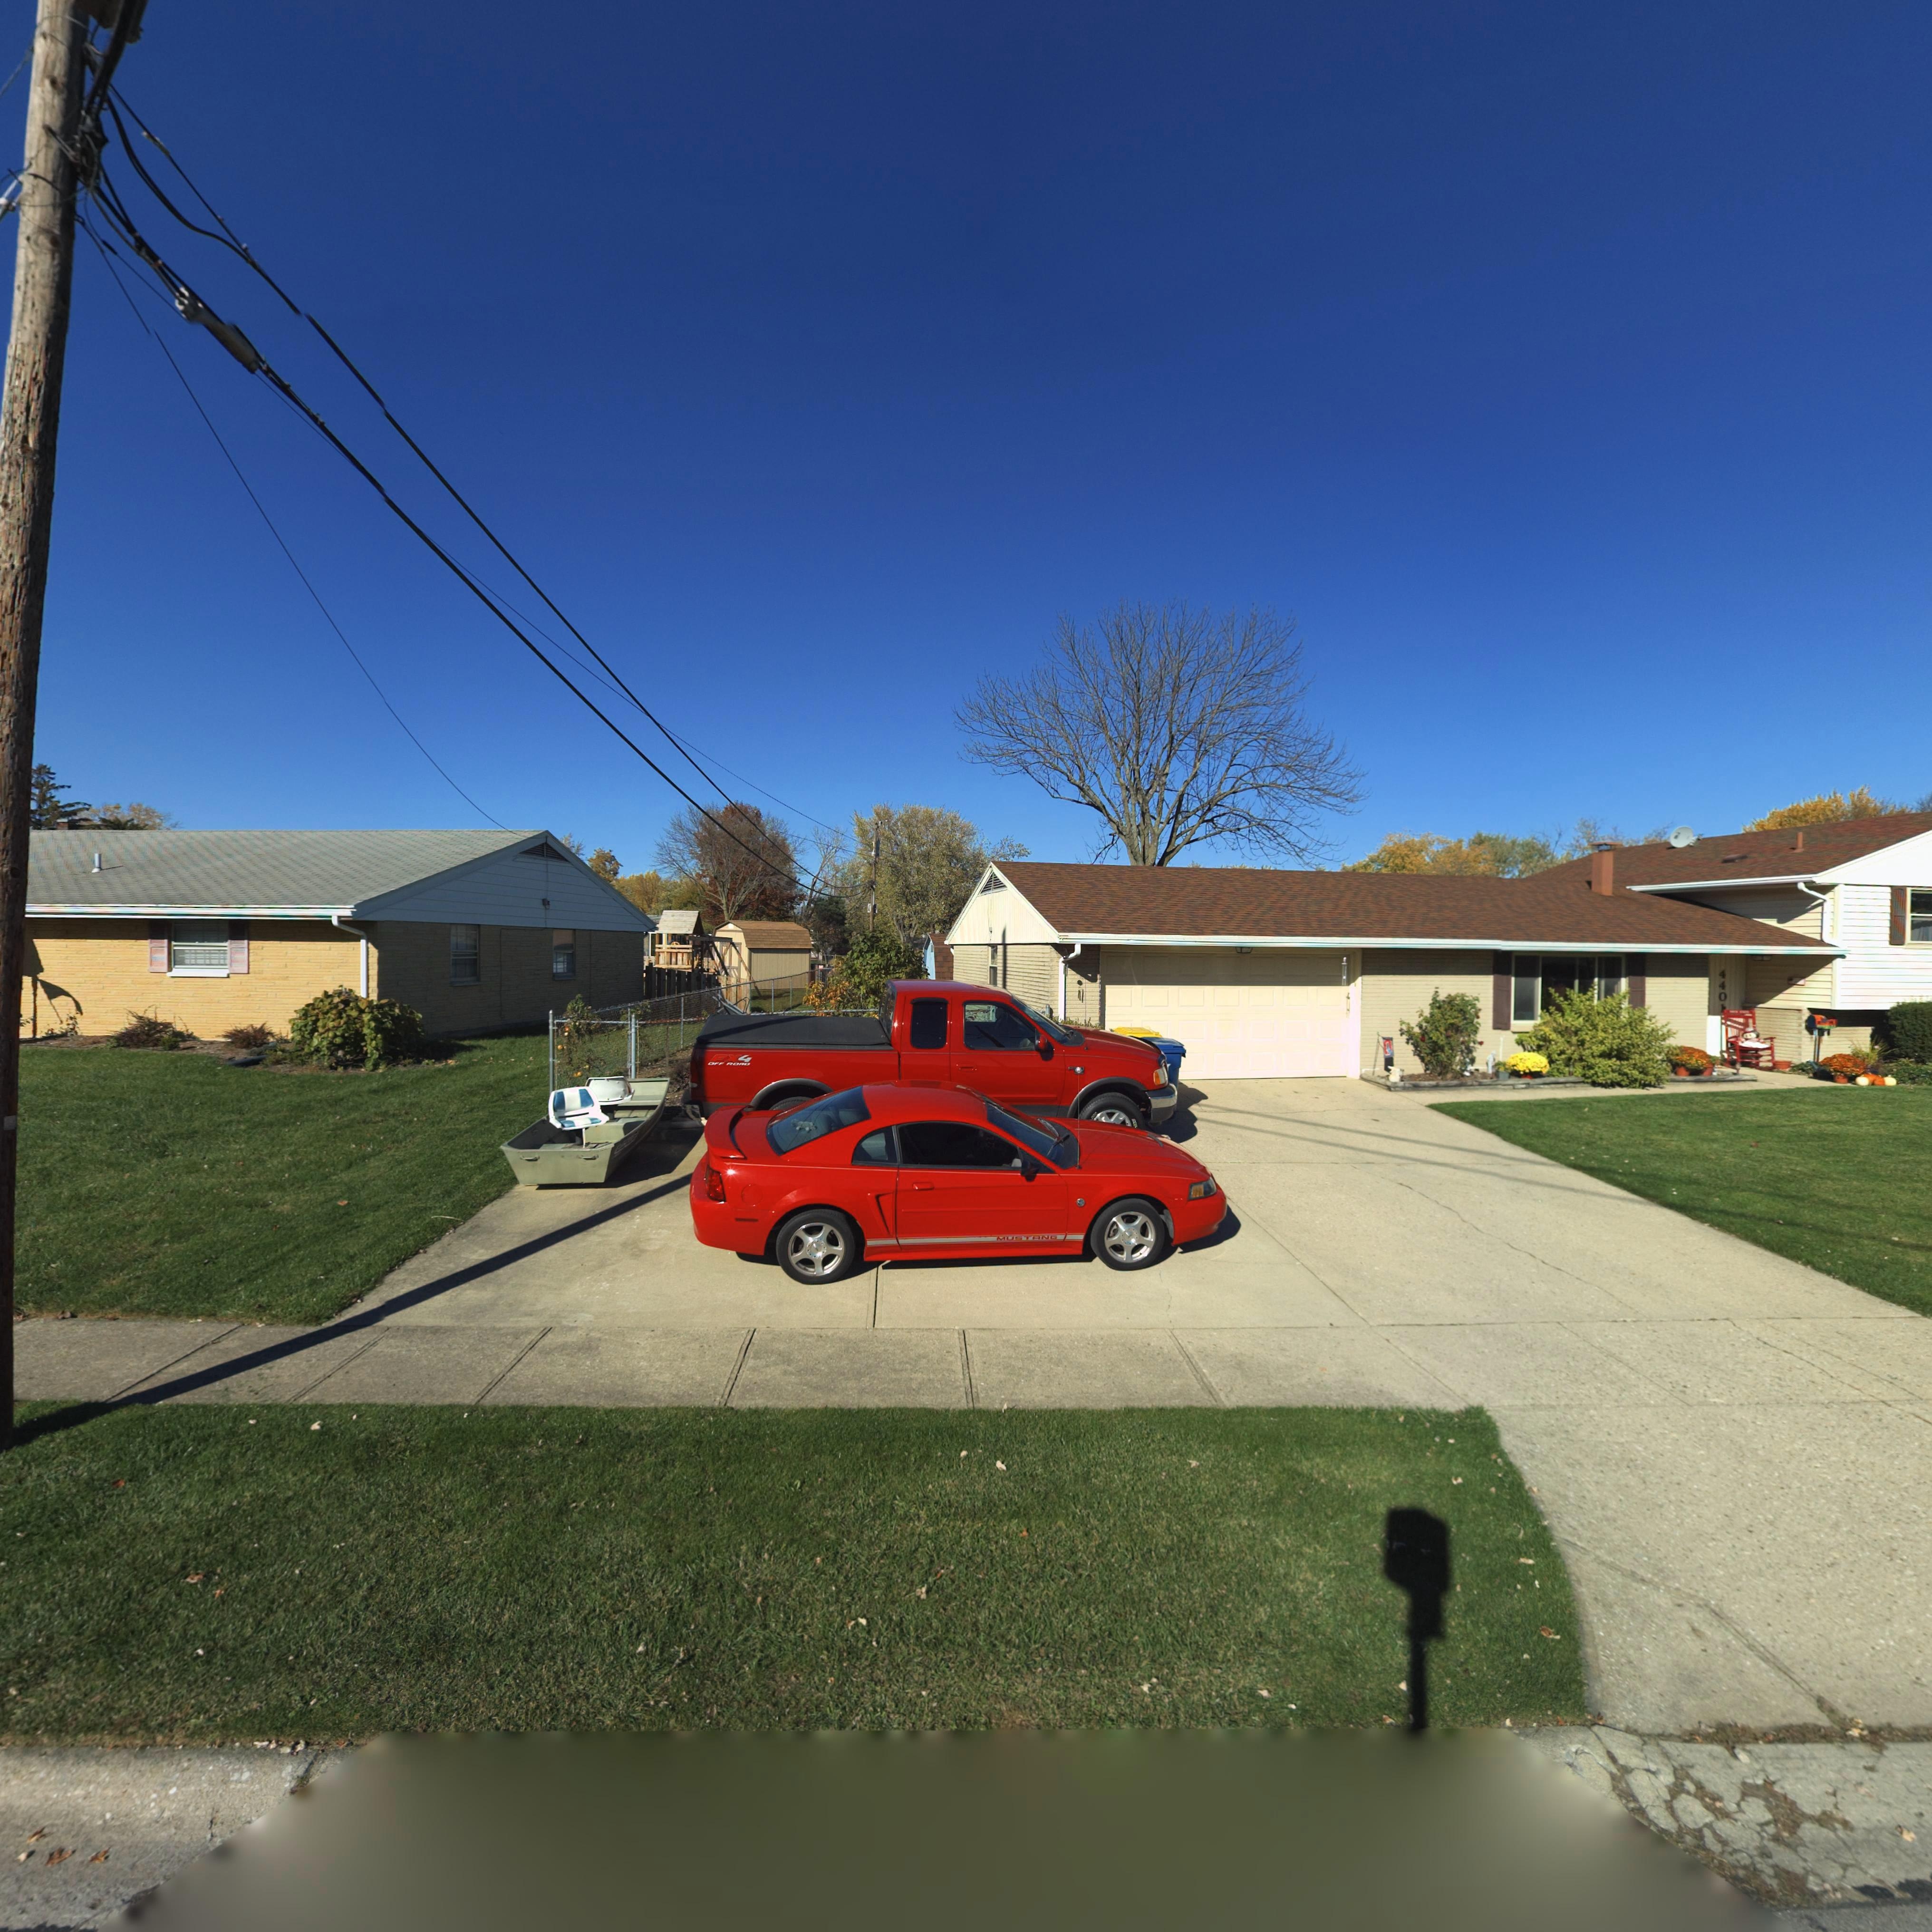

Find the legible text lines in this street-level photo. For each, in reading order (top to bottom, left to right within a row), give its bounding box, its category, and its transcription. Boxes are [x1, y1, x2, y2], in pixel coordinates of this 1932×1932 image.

[1718, 968, 1727, 1014] StreetNumber: 4401
[995, 1235, 1059, 1242] None: MUSTANG